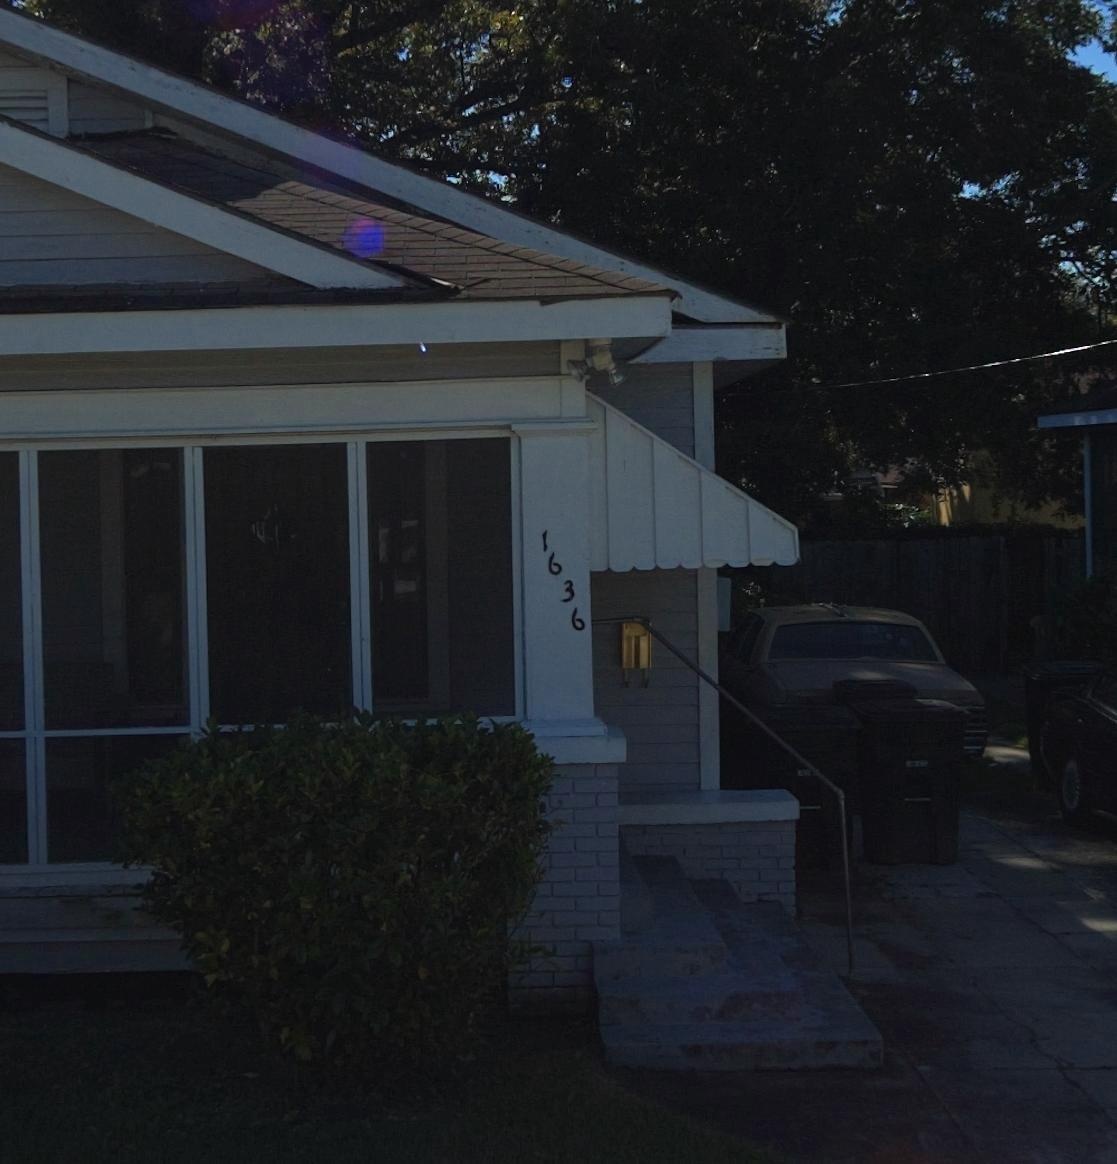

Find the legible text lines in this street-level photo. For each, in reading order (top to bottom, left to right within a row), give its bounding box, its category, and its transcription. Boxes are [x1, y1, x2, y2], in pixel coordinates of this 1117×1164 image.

[538, 527, 589, 635] StreetNumber: 1636